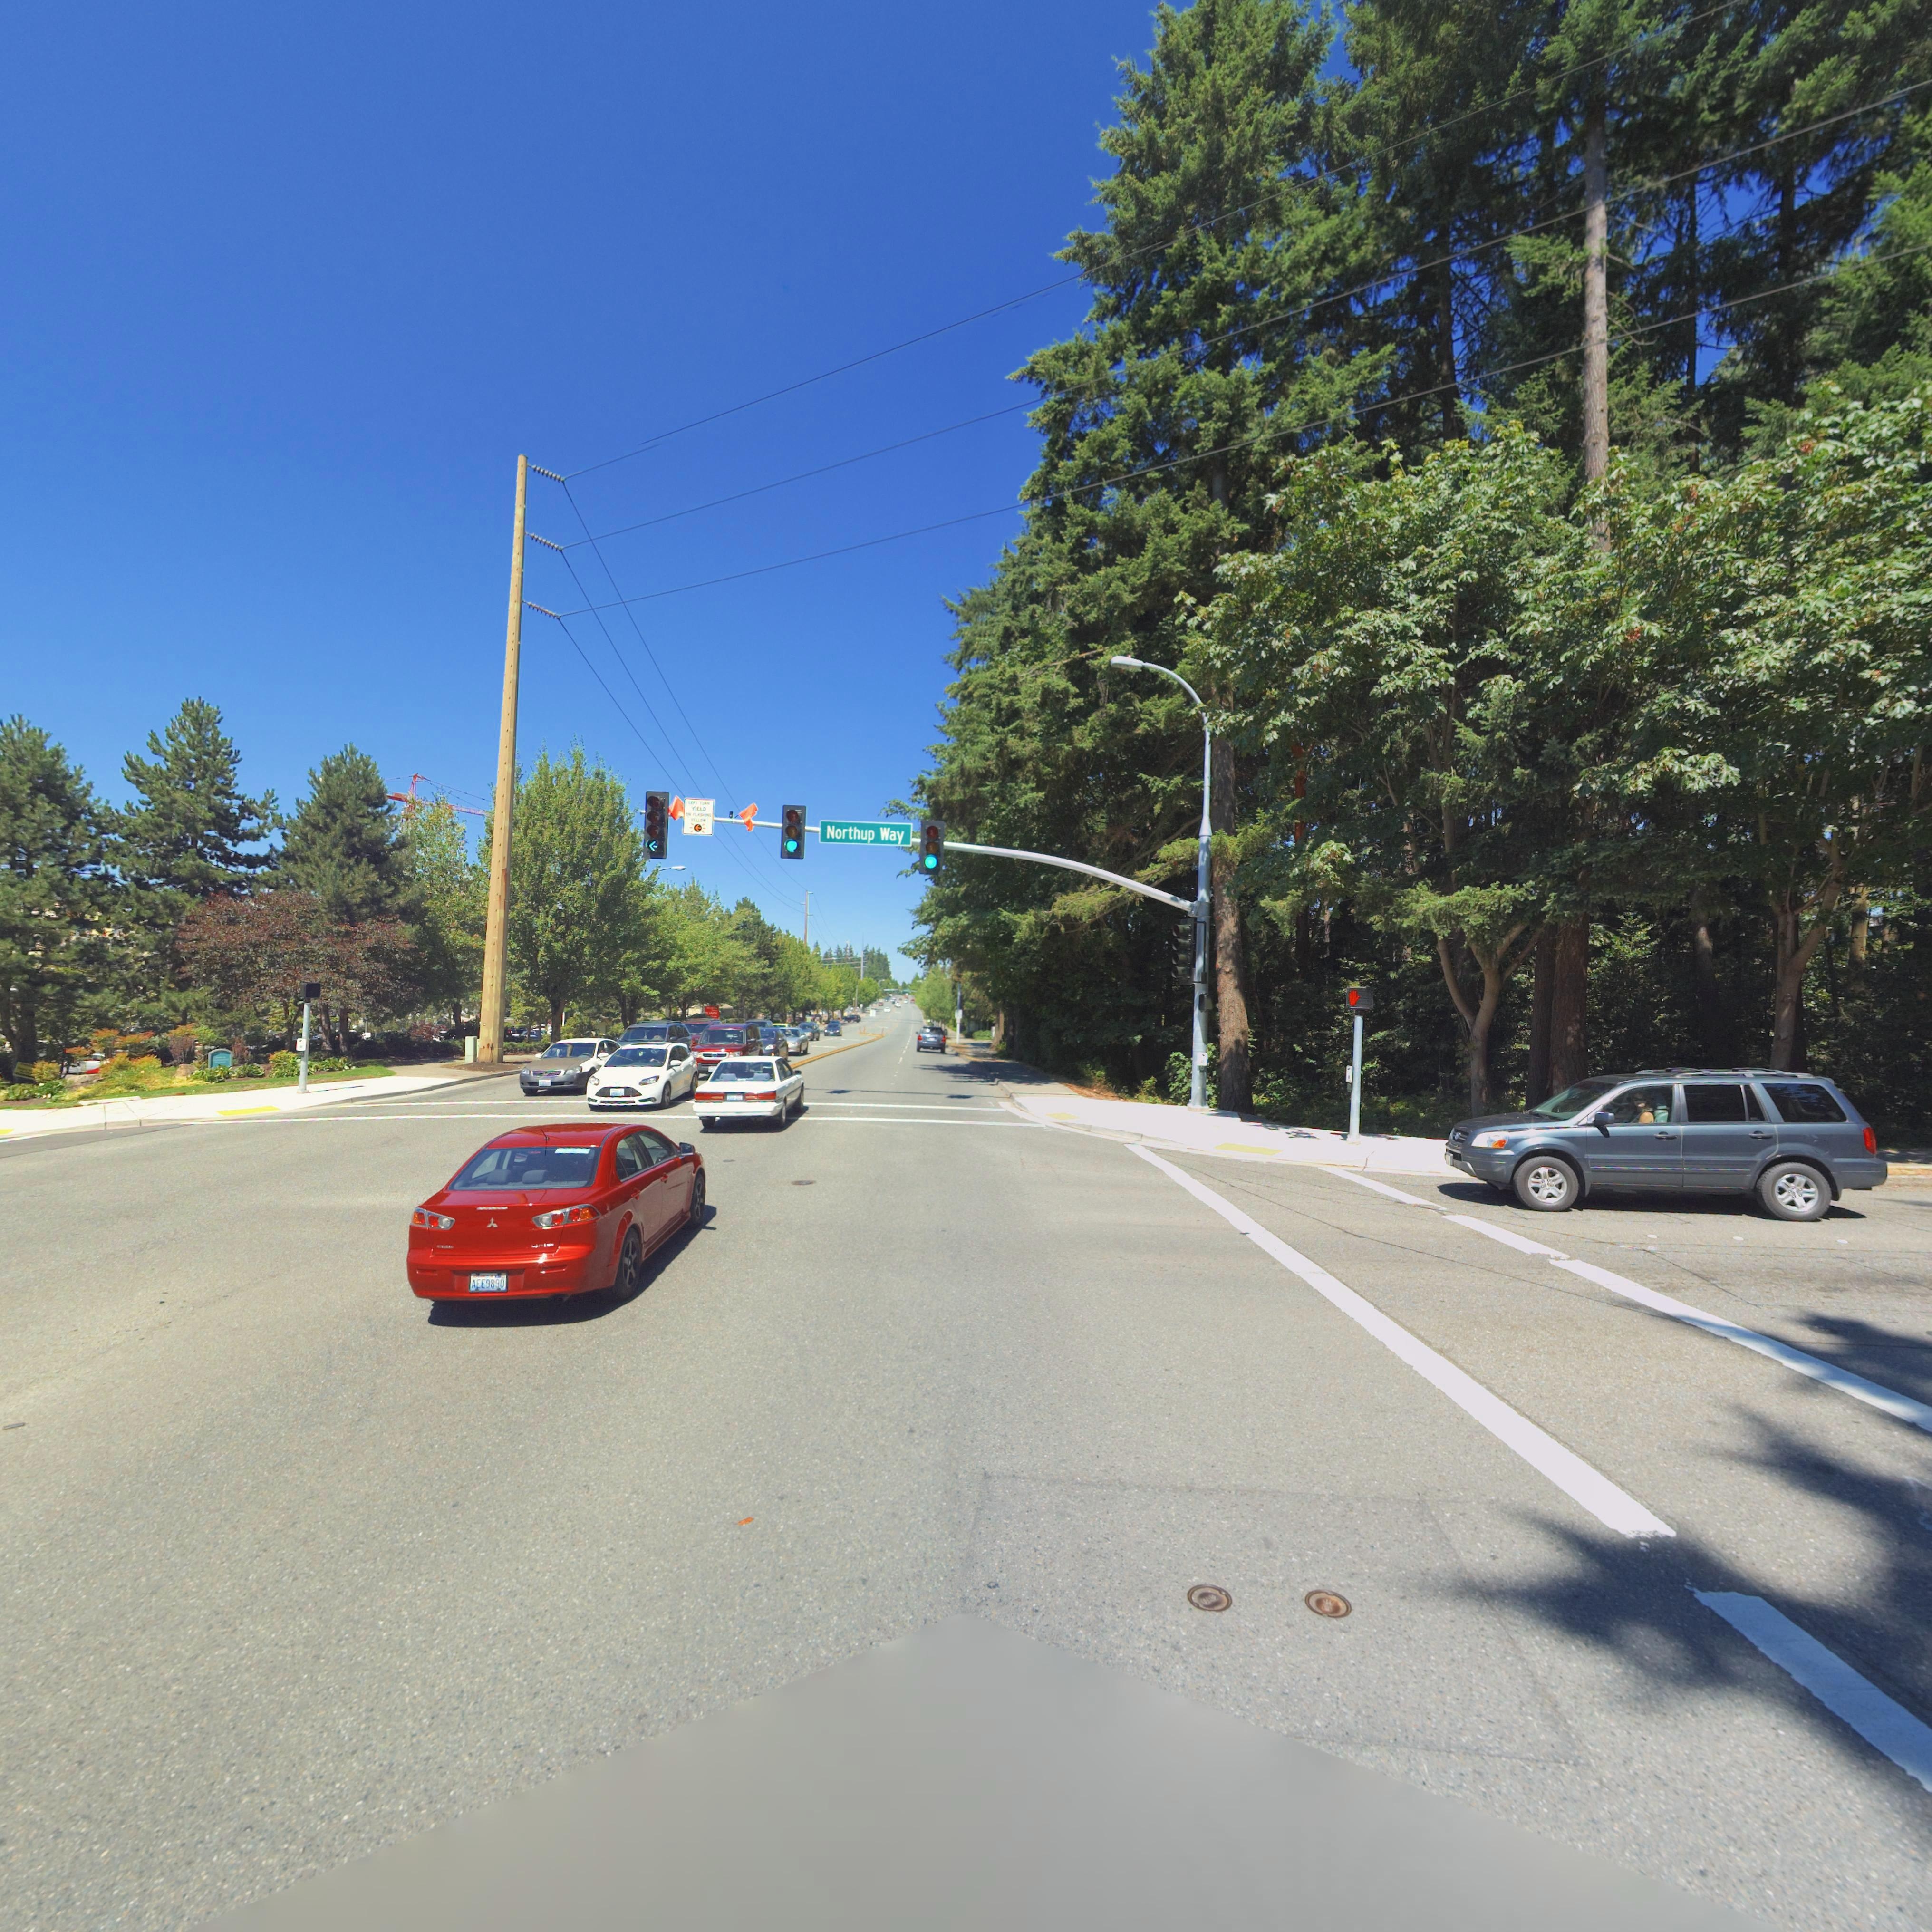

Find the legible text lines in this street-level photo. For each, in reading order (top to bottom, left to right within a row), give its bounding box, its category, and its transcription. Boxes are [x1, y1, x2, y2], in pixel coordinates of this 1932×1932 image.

[824, 824, 906, 848] StreetName: Northup Way